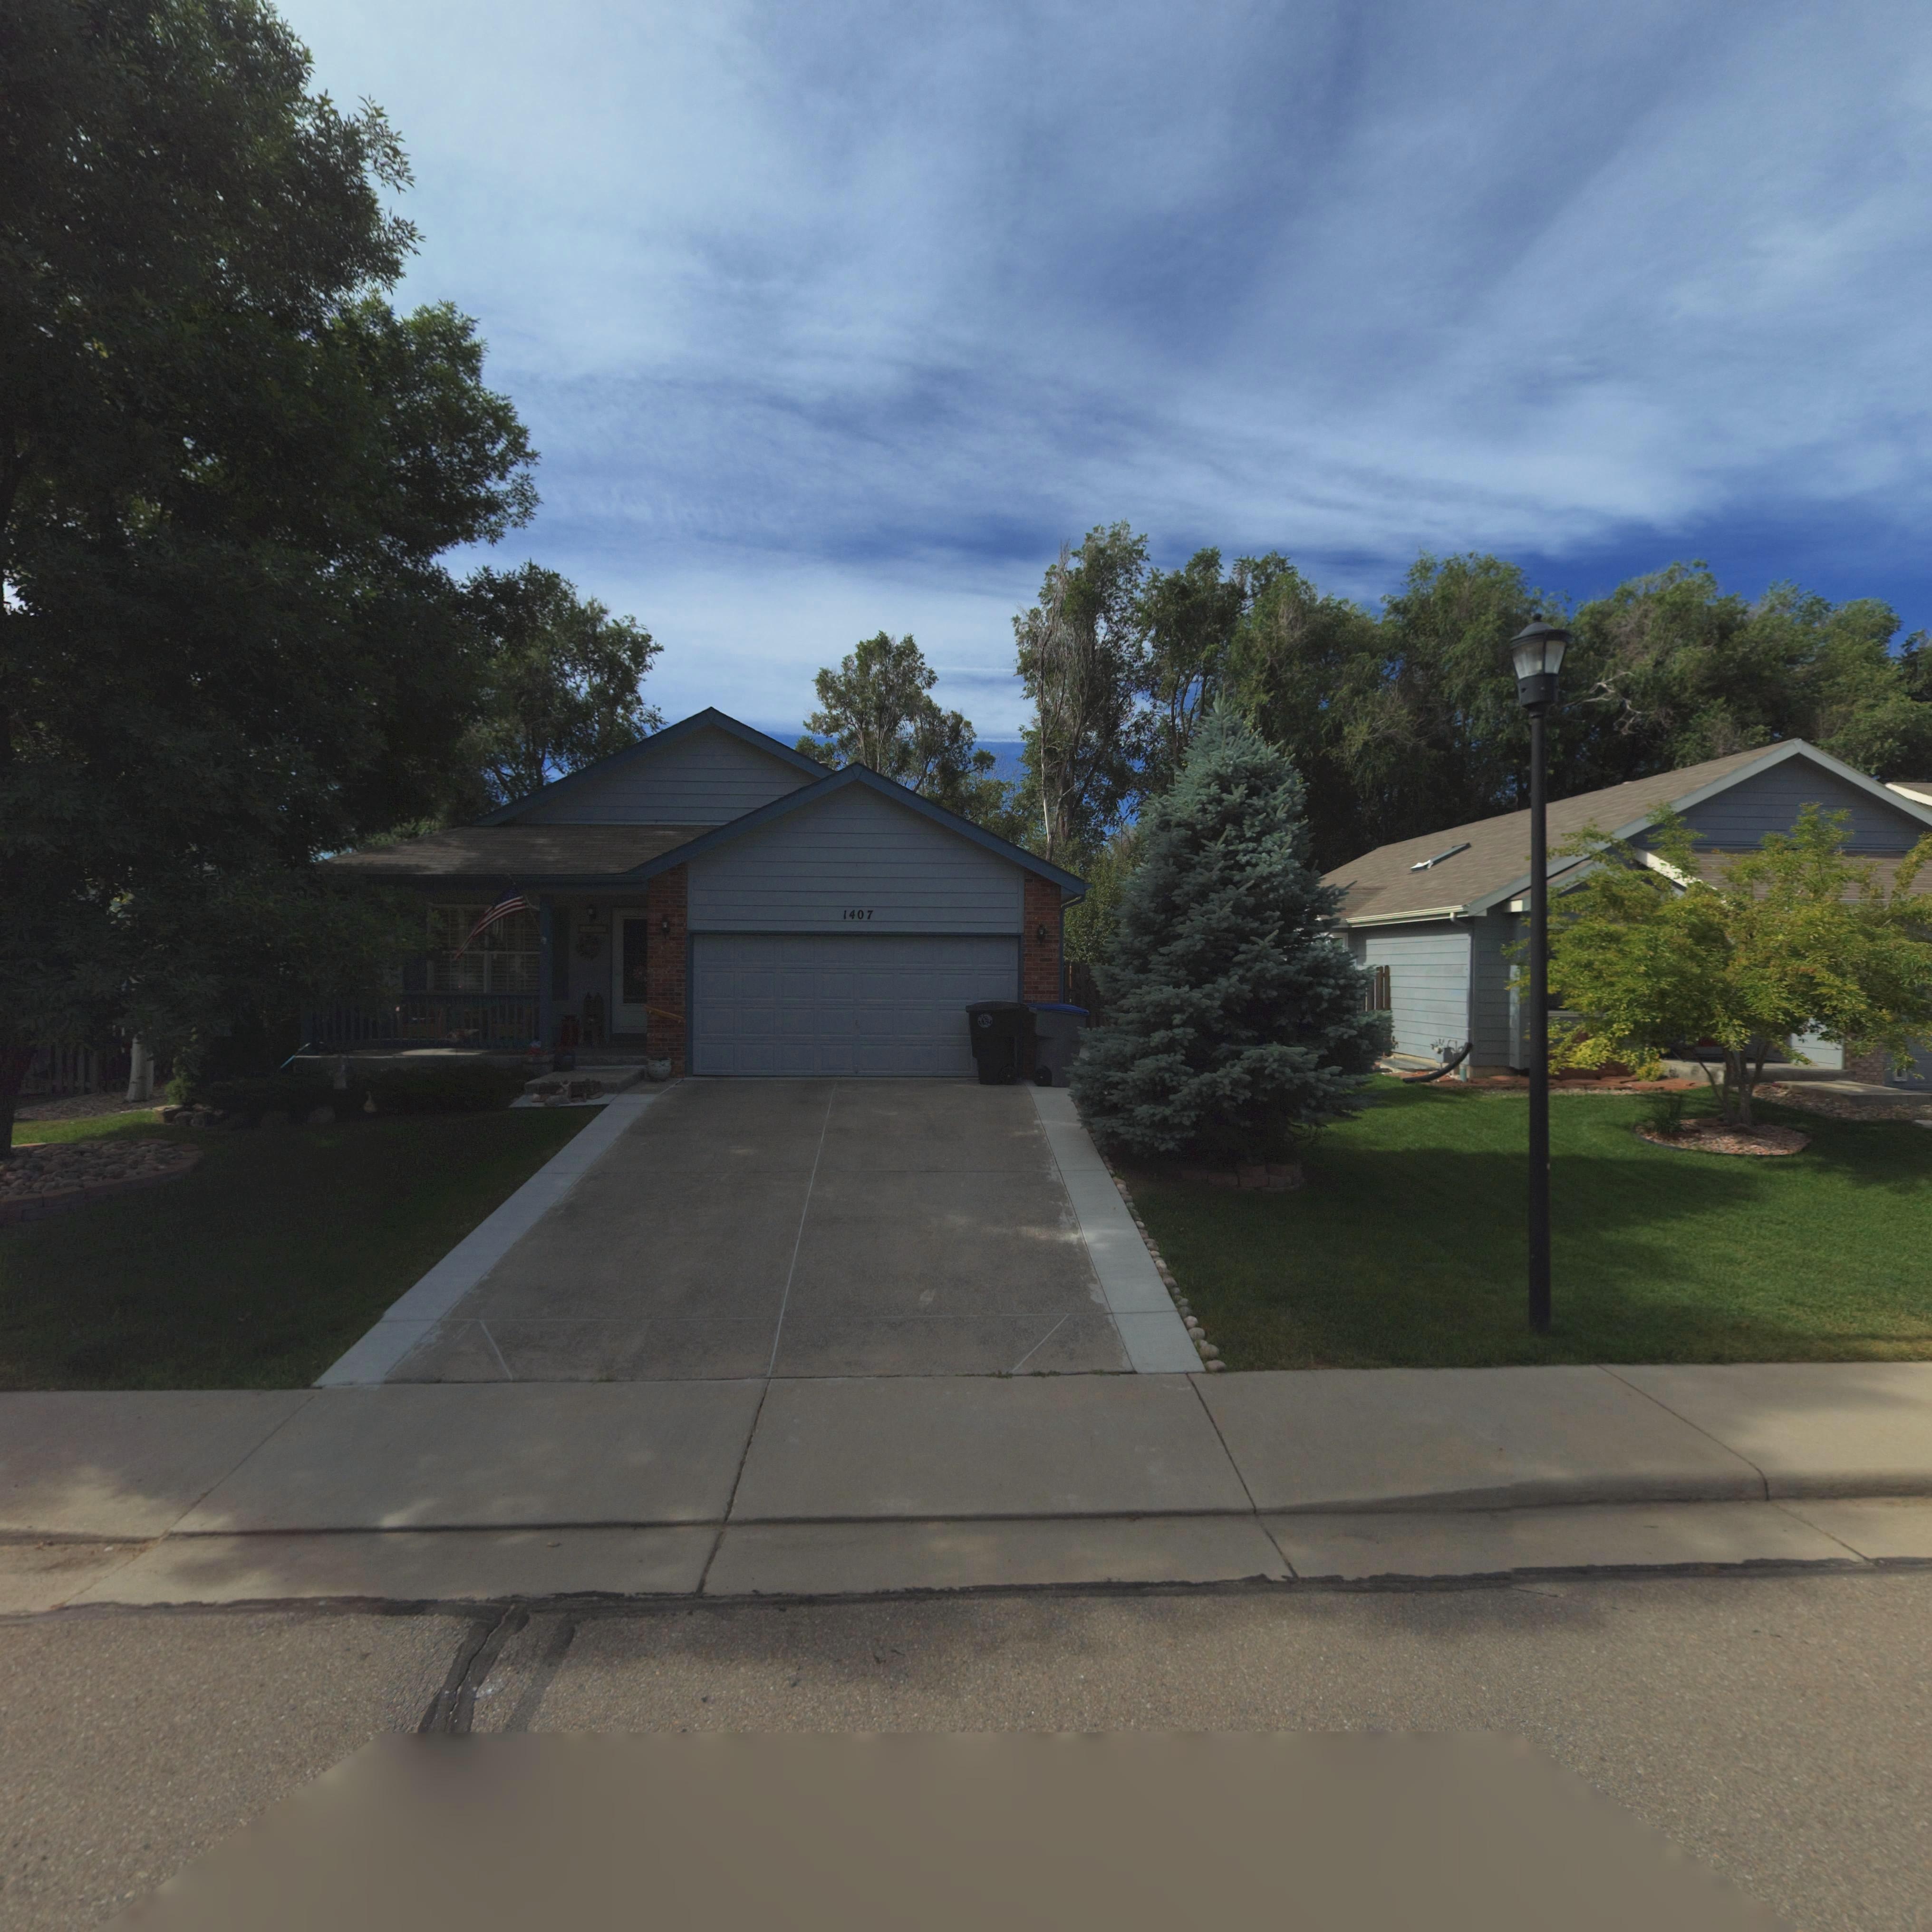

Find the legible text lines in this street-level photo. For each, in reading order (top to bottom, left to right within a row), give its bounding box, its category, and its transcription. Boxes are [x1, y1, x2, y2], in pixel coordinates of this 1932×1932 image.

[843, 909, 873, 919] StreetNumber: 1407